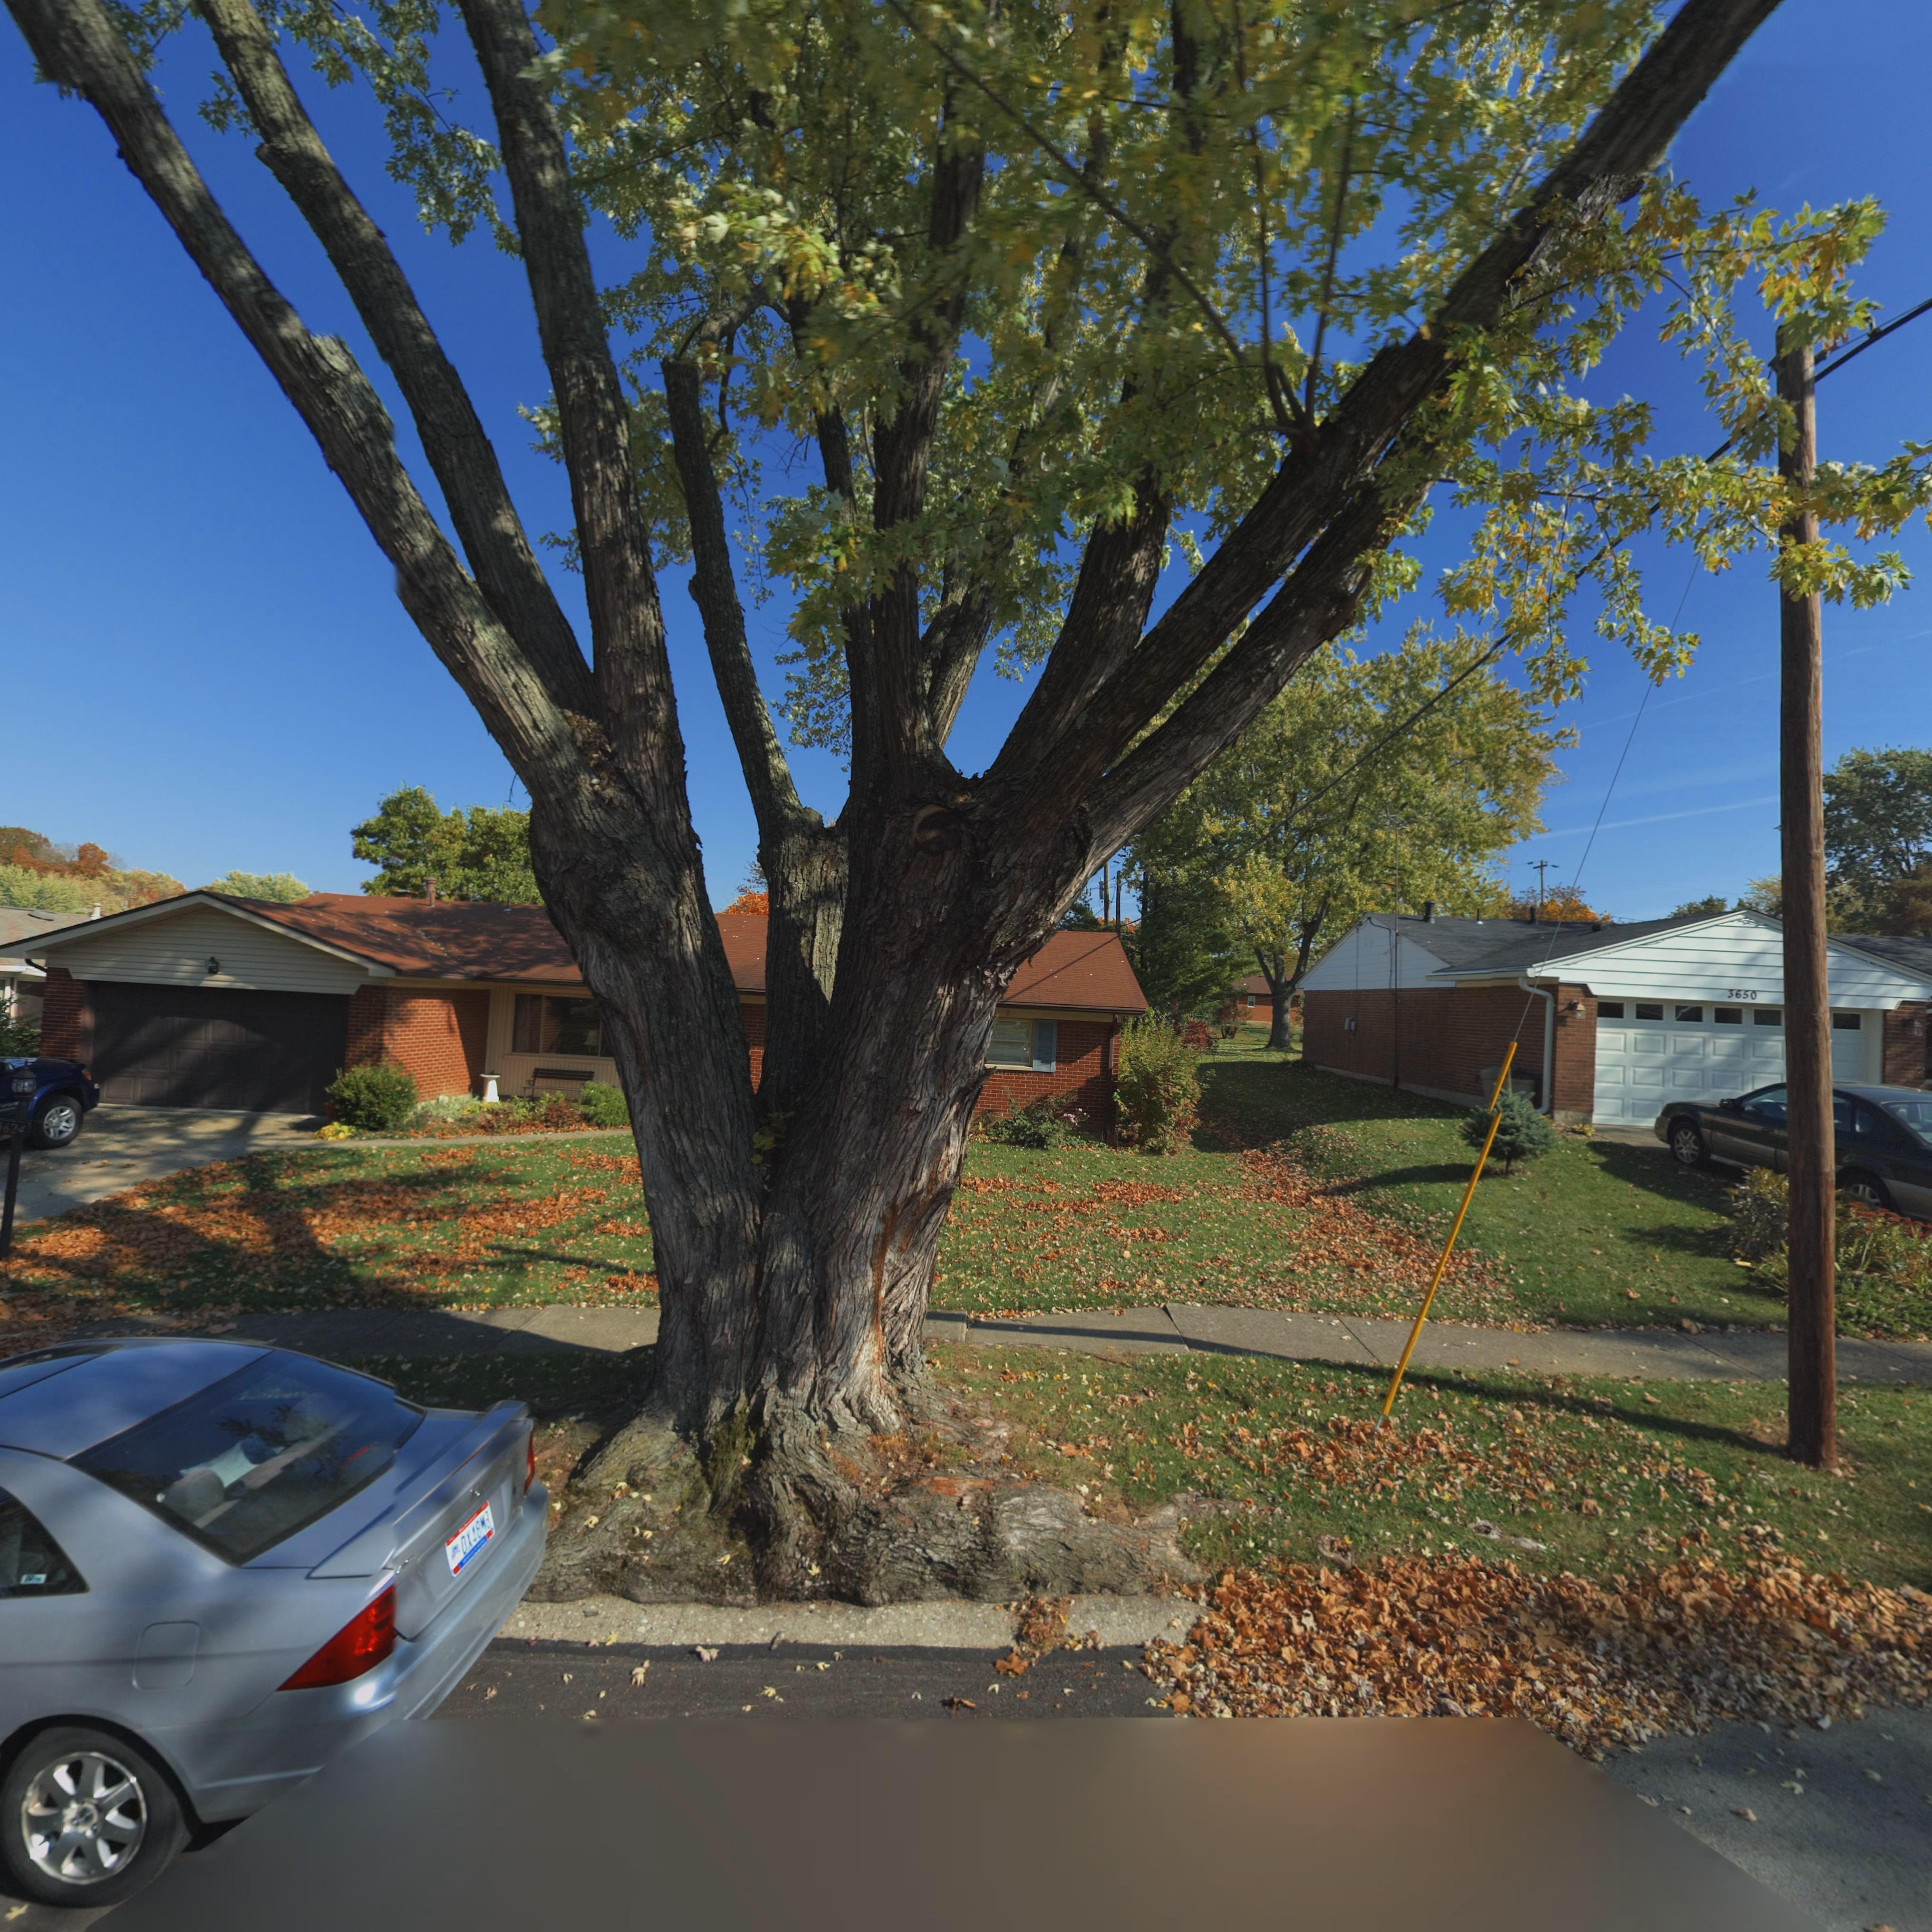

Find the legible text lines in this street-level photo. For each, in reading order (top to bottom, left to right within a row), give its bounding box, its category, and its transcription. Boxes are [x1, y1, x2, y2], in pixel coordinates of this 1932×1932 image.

[1725, 987, 1758, 1001] StreetNumber: 3650
[458, 1509, 493, 1557] None: DX48*3